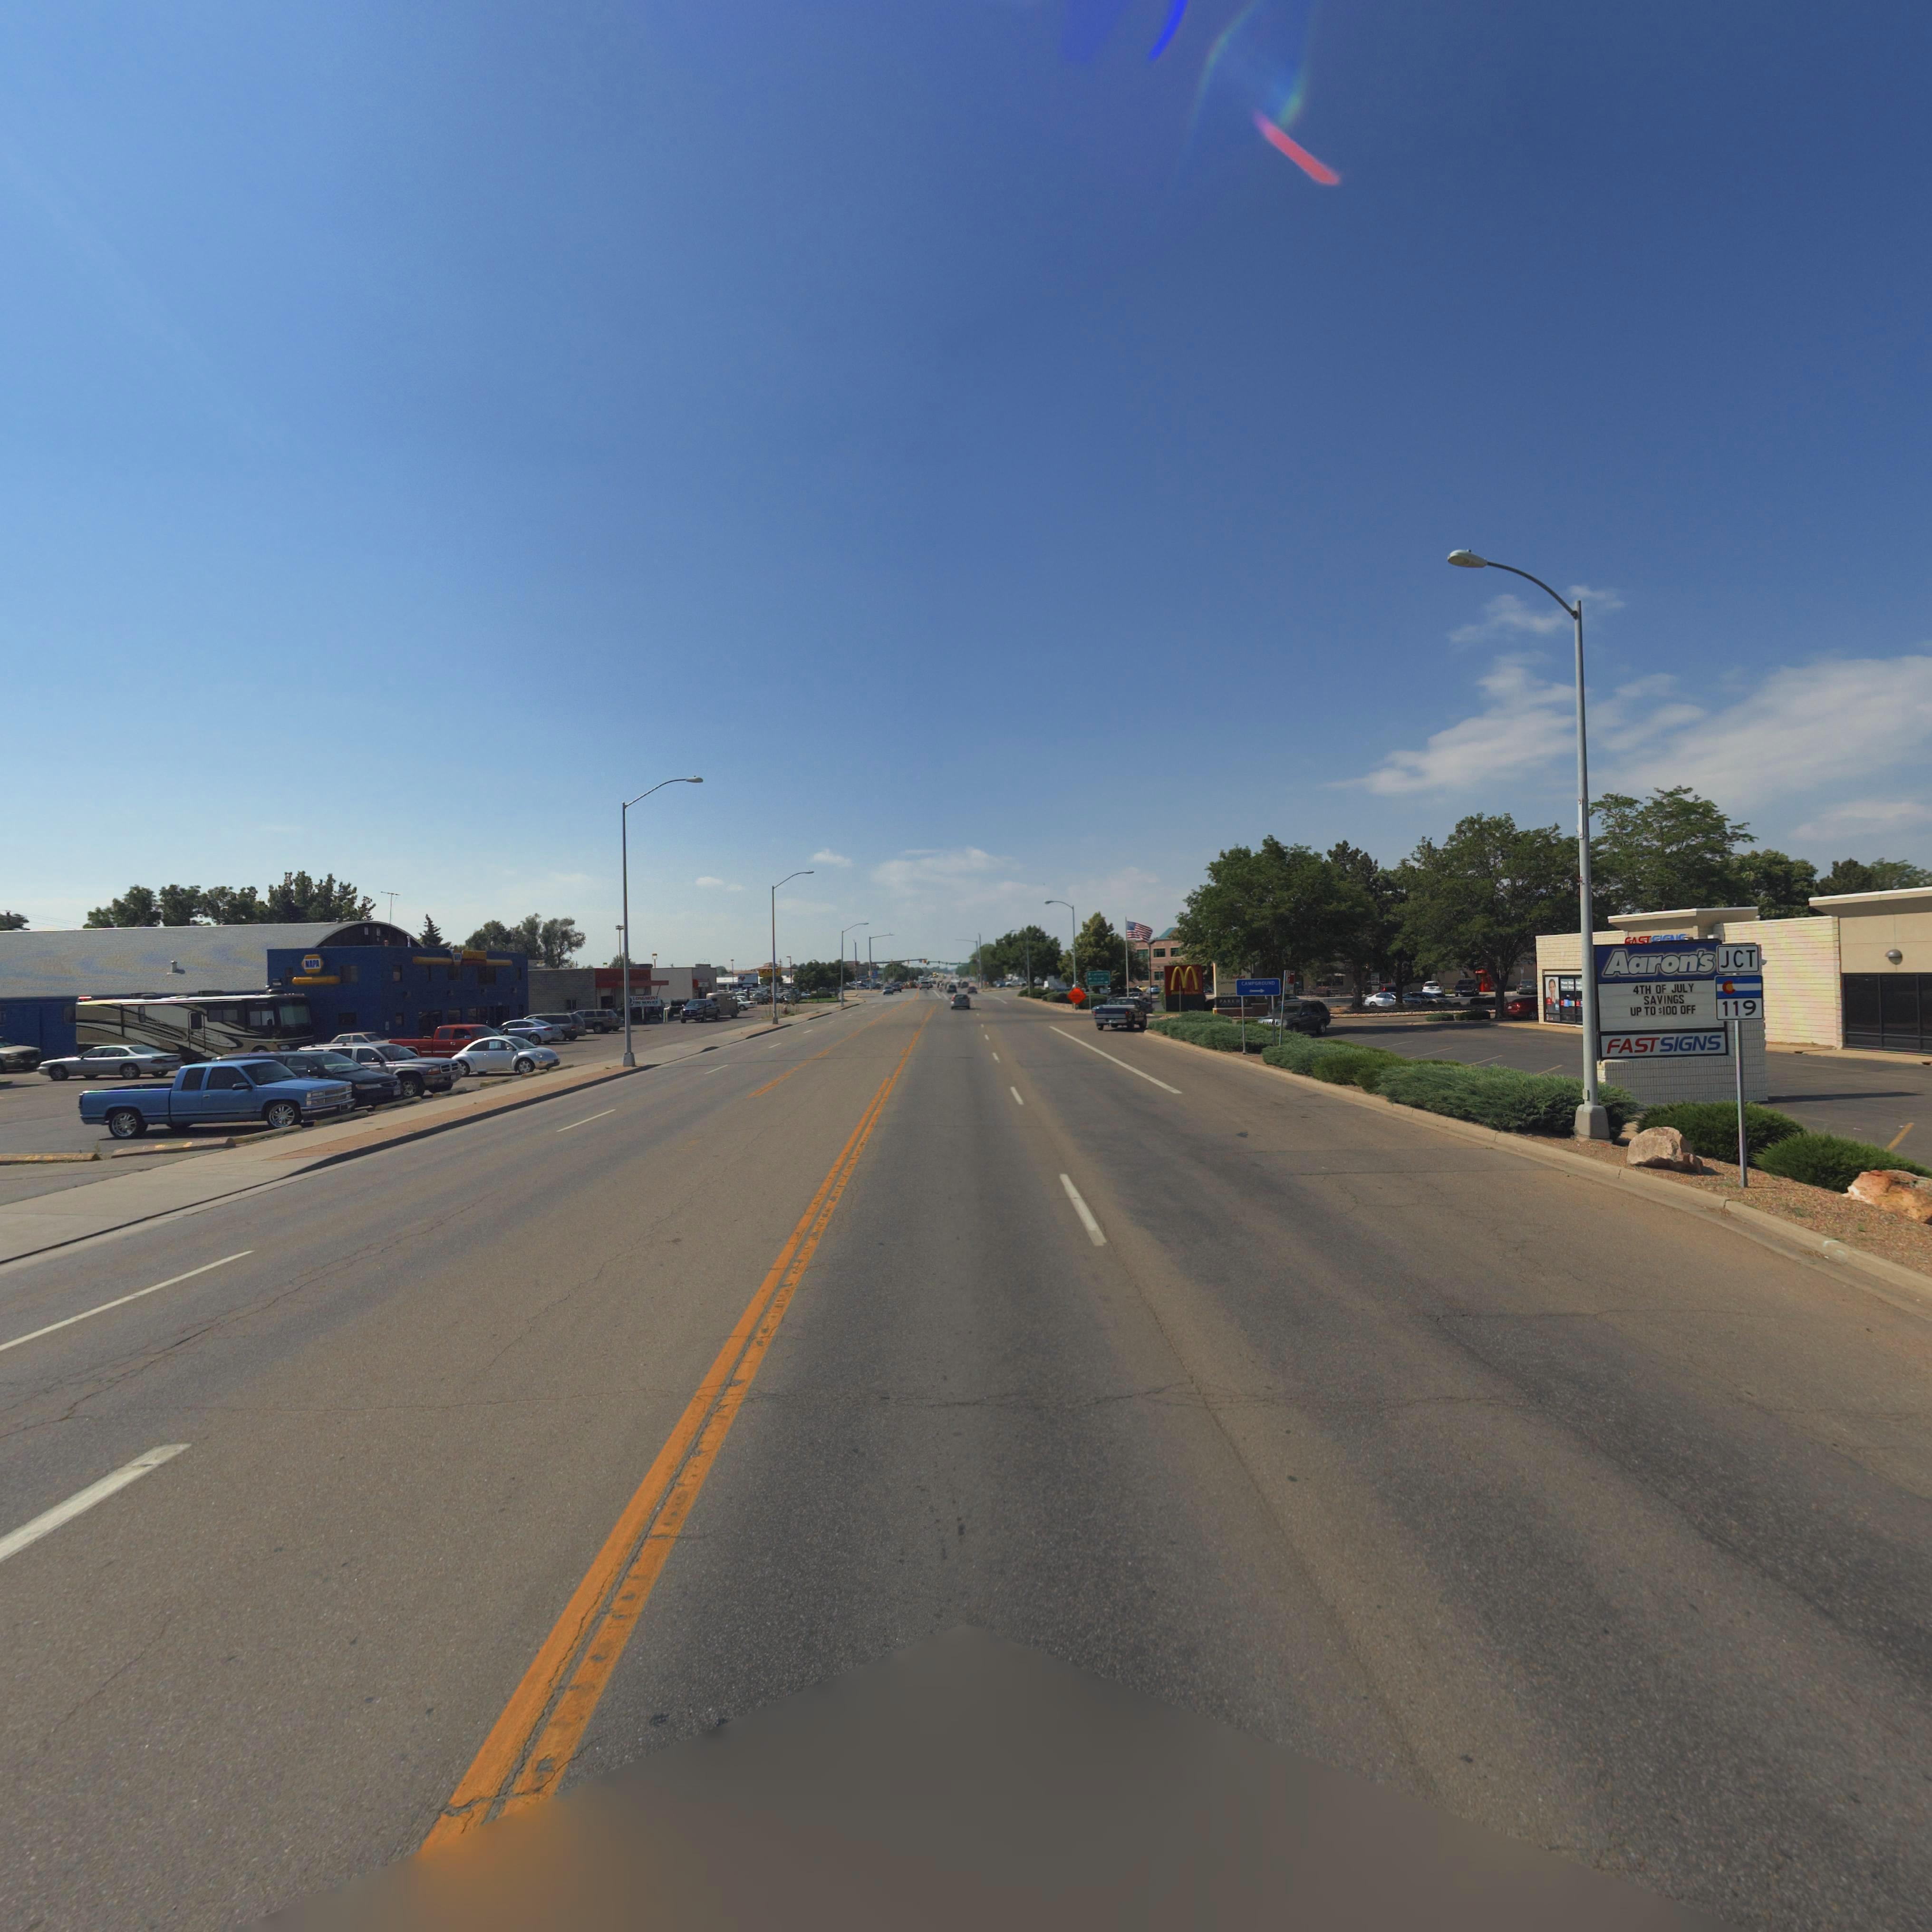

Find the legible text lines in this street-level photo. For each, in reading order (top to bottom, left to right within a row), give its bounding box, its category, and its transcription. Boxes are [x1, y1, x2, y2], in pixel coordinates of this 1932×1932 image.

[454, 953, 461, 960] BusinessName: NAPA
[461, 950, 487, 959] BusinessName: AUTO PARTS
[305, 959, 319, 967] BusinessName: NAPA
[1601, 947, 1716, 978] BusinessName: Aaron's
[761, 968, 778, 973] BusinessName: ZO*
[1220, 981, 1236, 984] BusinessName: ANYTIME
[633, 996, 658, 1000] BusinessName: LONGMONT
[497, 1002, 502, 1005] StreetNumber: 210
[632, 1000, 657, 1004] BusinessName: TIRE SERVICE
[1606, 1034, 1721, 1054] BusinessName: FAST SIGNS